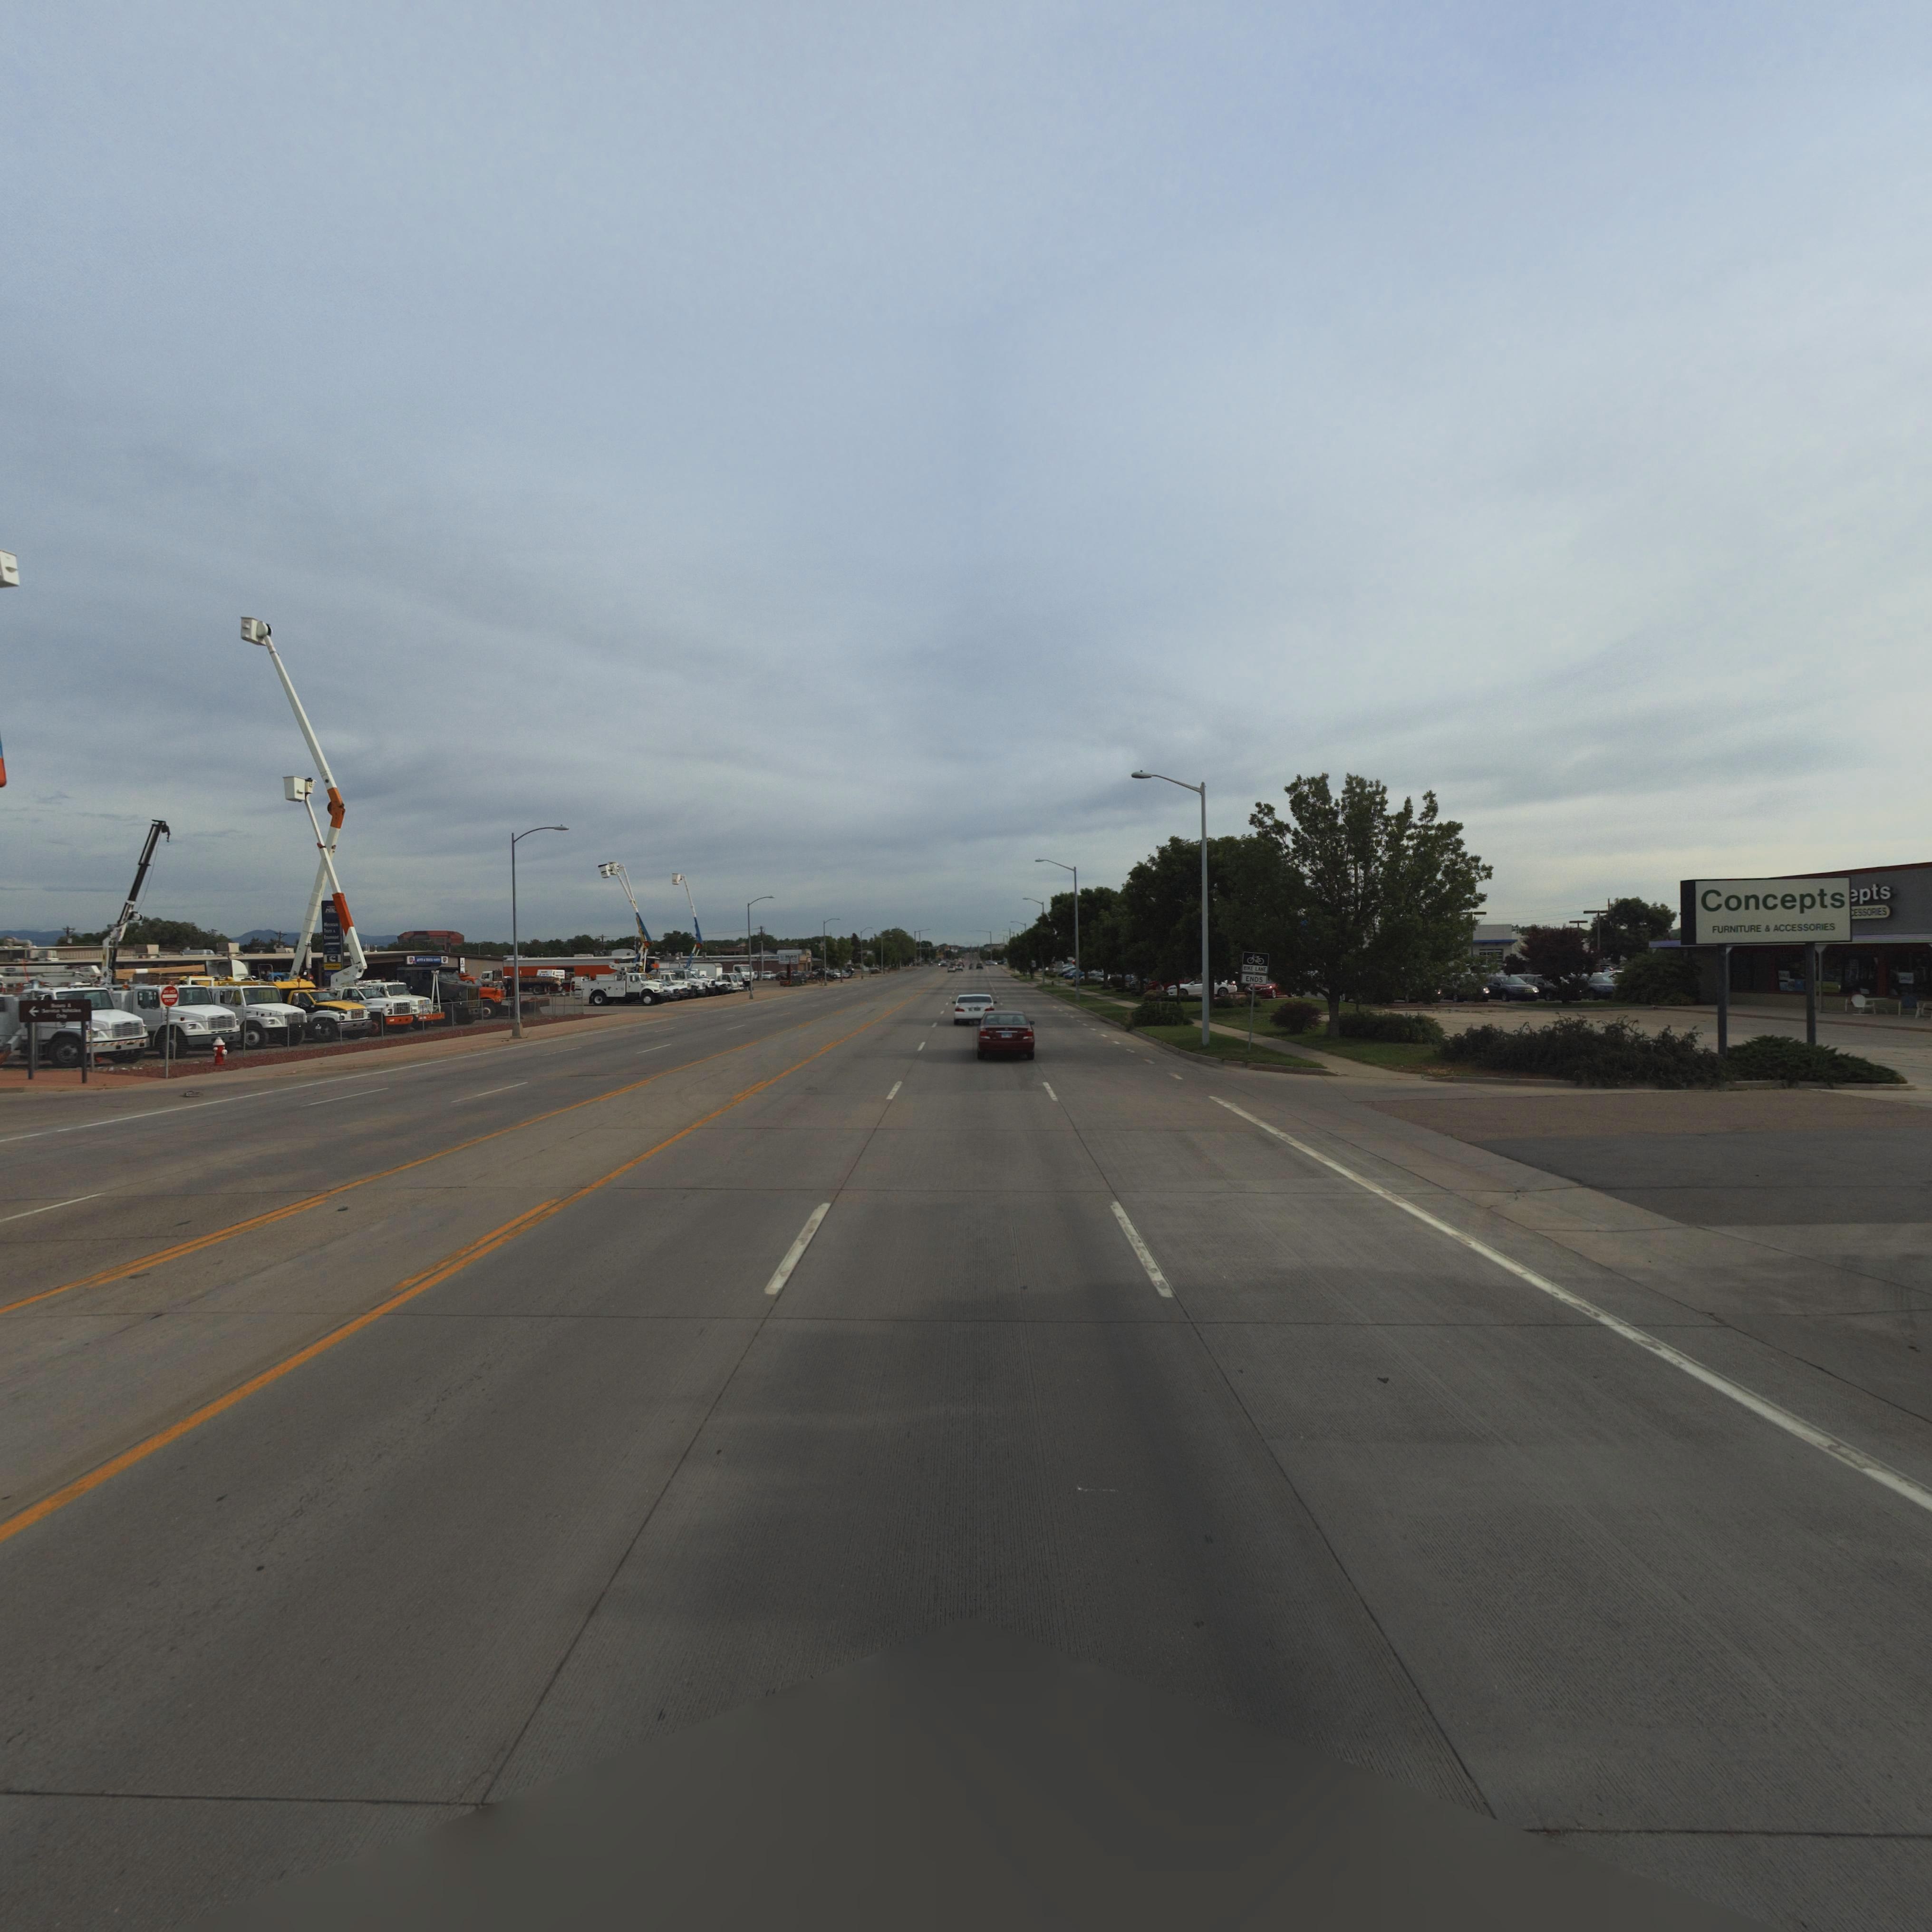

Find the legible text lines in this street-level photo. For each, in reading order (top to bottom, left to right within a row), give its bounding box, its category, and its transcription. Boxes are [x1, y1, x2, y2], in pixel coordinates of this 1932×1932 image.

[1850, 883, 1891, 904] BusinessName: epts
[1700, 888, 1845, 915] BusinessName: Concepts
[325, 905, 337, 913] BusinessName: MTE
[1851, 907, 1887, 917] BusinessName: CESSORIES
[1711, 922, 1836, 934] BusinessName: FURNITURE & ACCESORIES